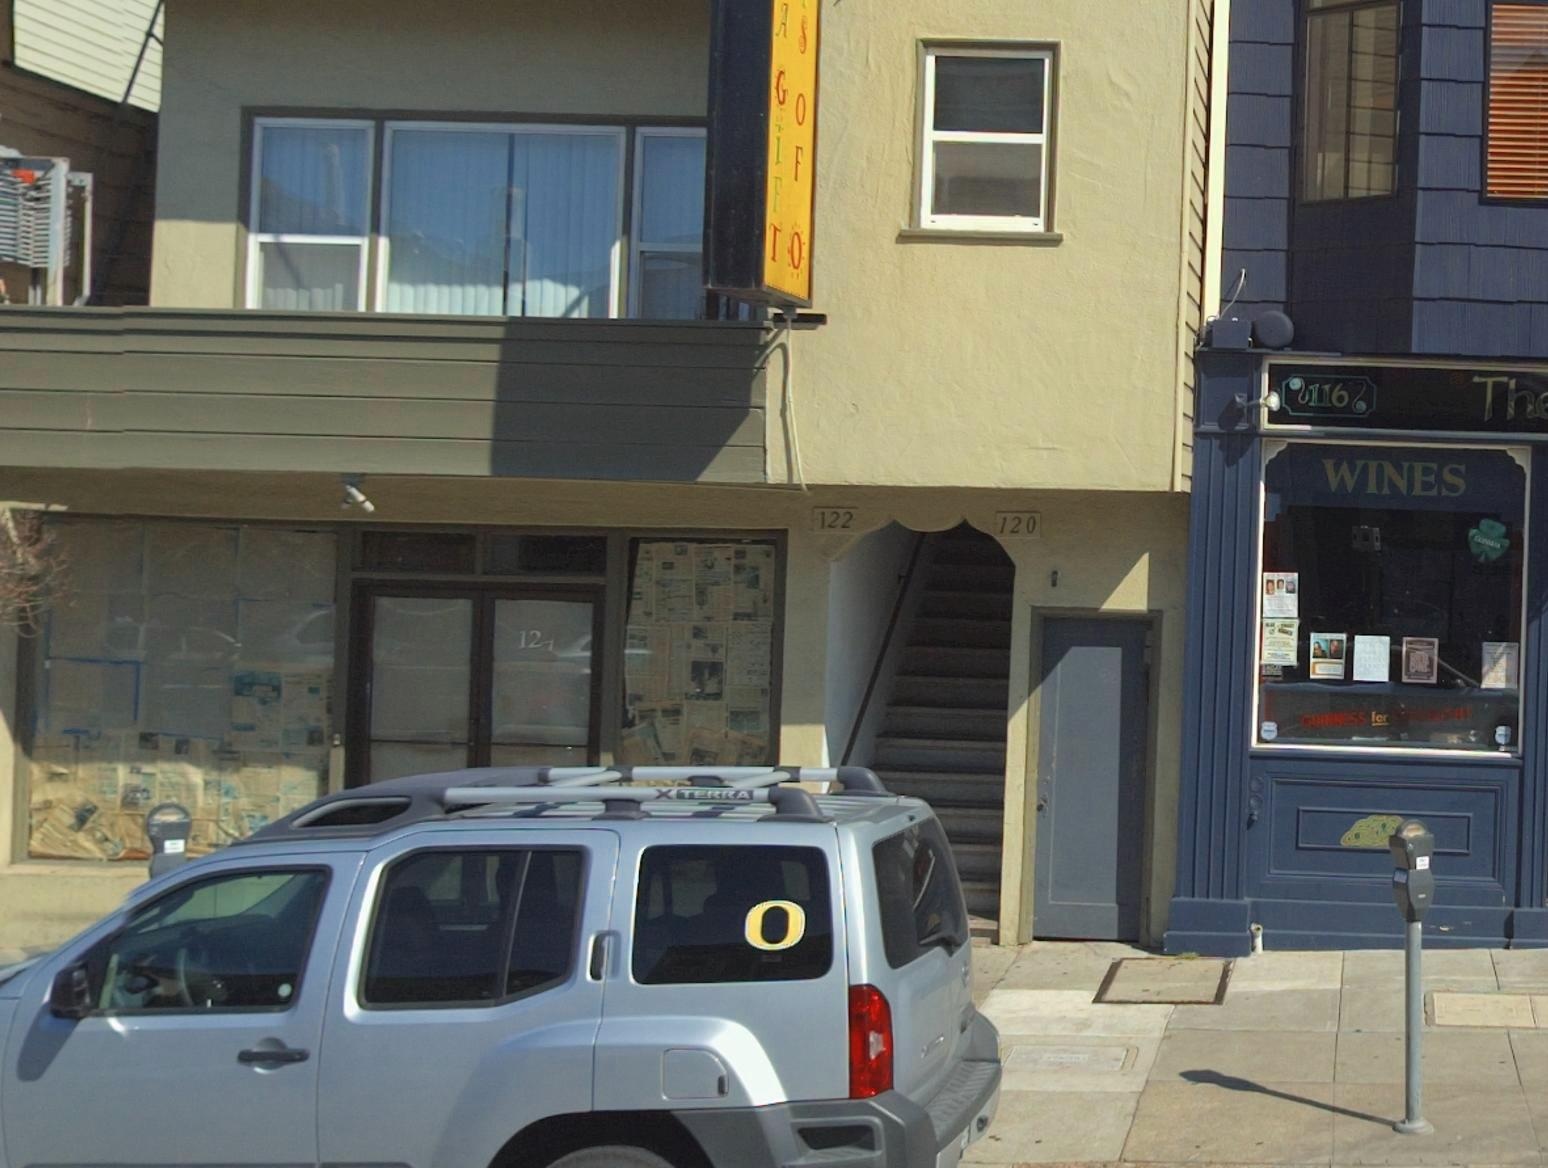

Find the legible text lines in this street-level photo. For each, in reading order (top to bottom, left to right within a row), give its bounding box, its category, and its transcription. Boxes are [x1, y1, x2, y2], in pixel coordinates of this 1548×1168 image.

[774, 0, 811, 59] None: AS
[774, 63, 805, 132] None: GO
[774, 135, 804, 187] None: IF
[771, 176, 783, 213] None: F
[767, 218, 804, 273] None: TO
[1306, 380, 1351, 408] StreetNumber: 116
[1471, 374, 1538, 422] None: Th
[1318, 455, 1468, 500] None: WINES
[818, 508, 854, 530] StreetNumber: 122
[998, 512, 1037, 536] StreetNumber: 120
[516, 627, 557, 654] StreetNumber: 124
[1298, 709, 1390, 731] None: GUINNESS for
[743, 898, 807, 952] None: O